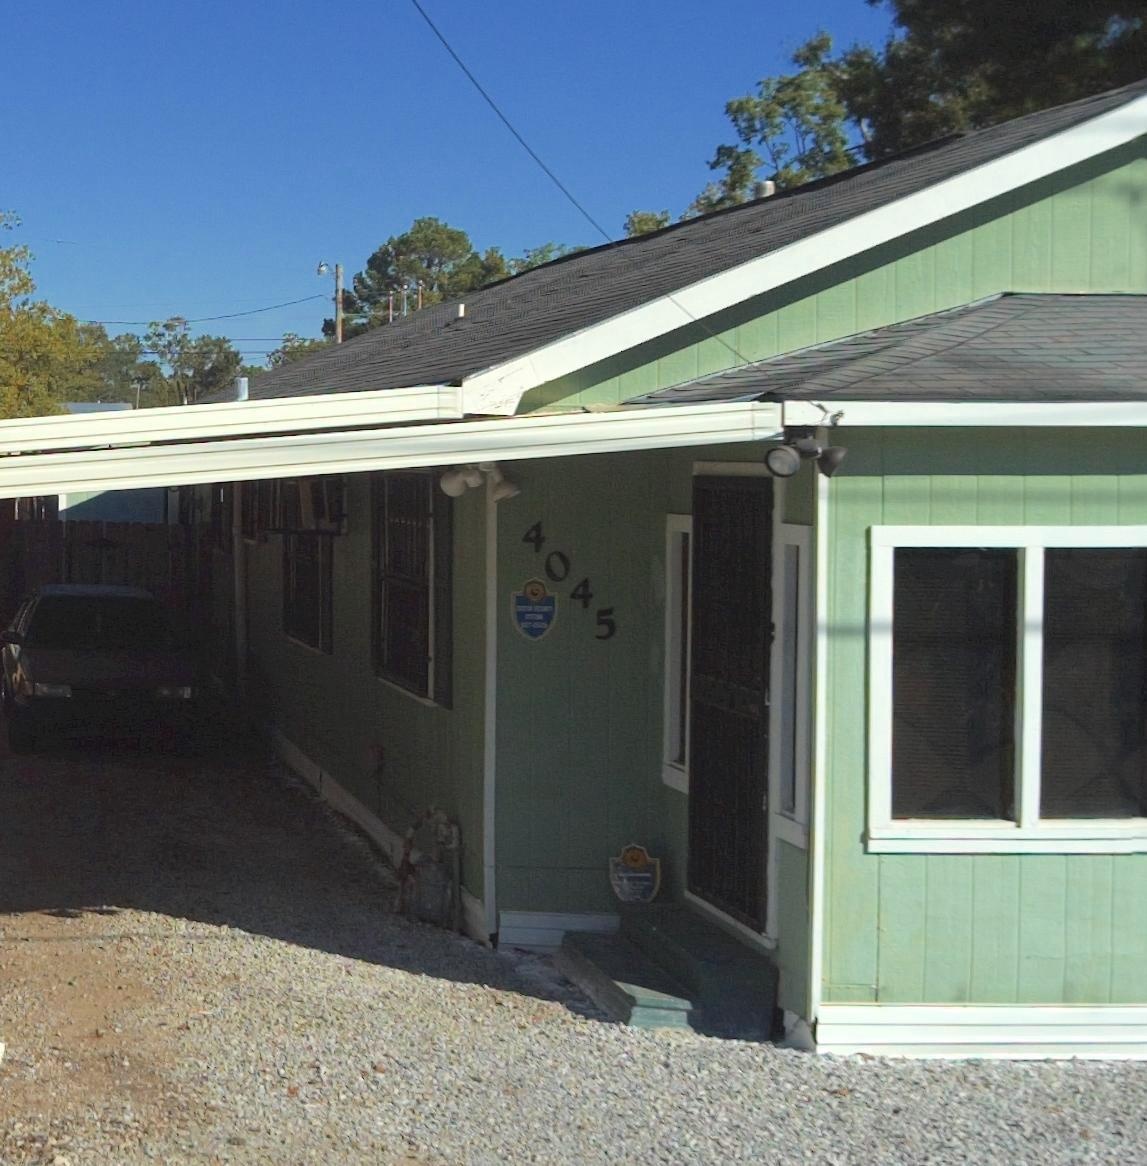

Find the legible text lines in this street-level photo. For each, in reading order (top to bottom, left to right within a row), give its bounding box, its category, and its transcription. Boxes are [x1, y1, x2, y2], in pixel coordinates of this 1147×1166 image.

[517, 514, 619, 645] StreetNumber: 4045